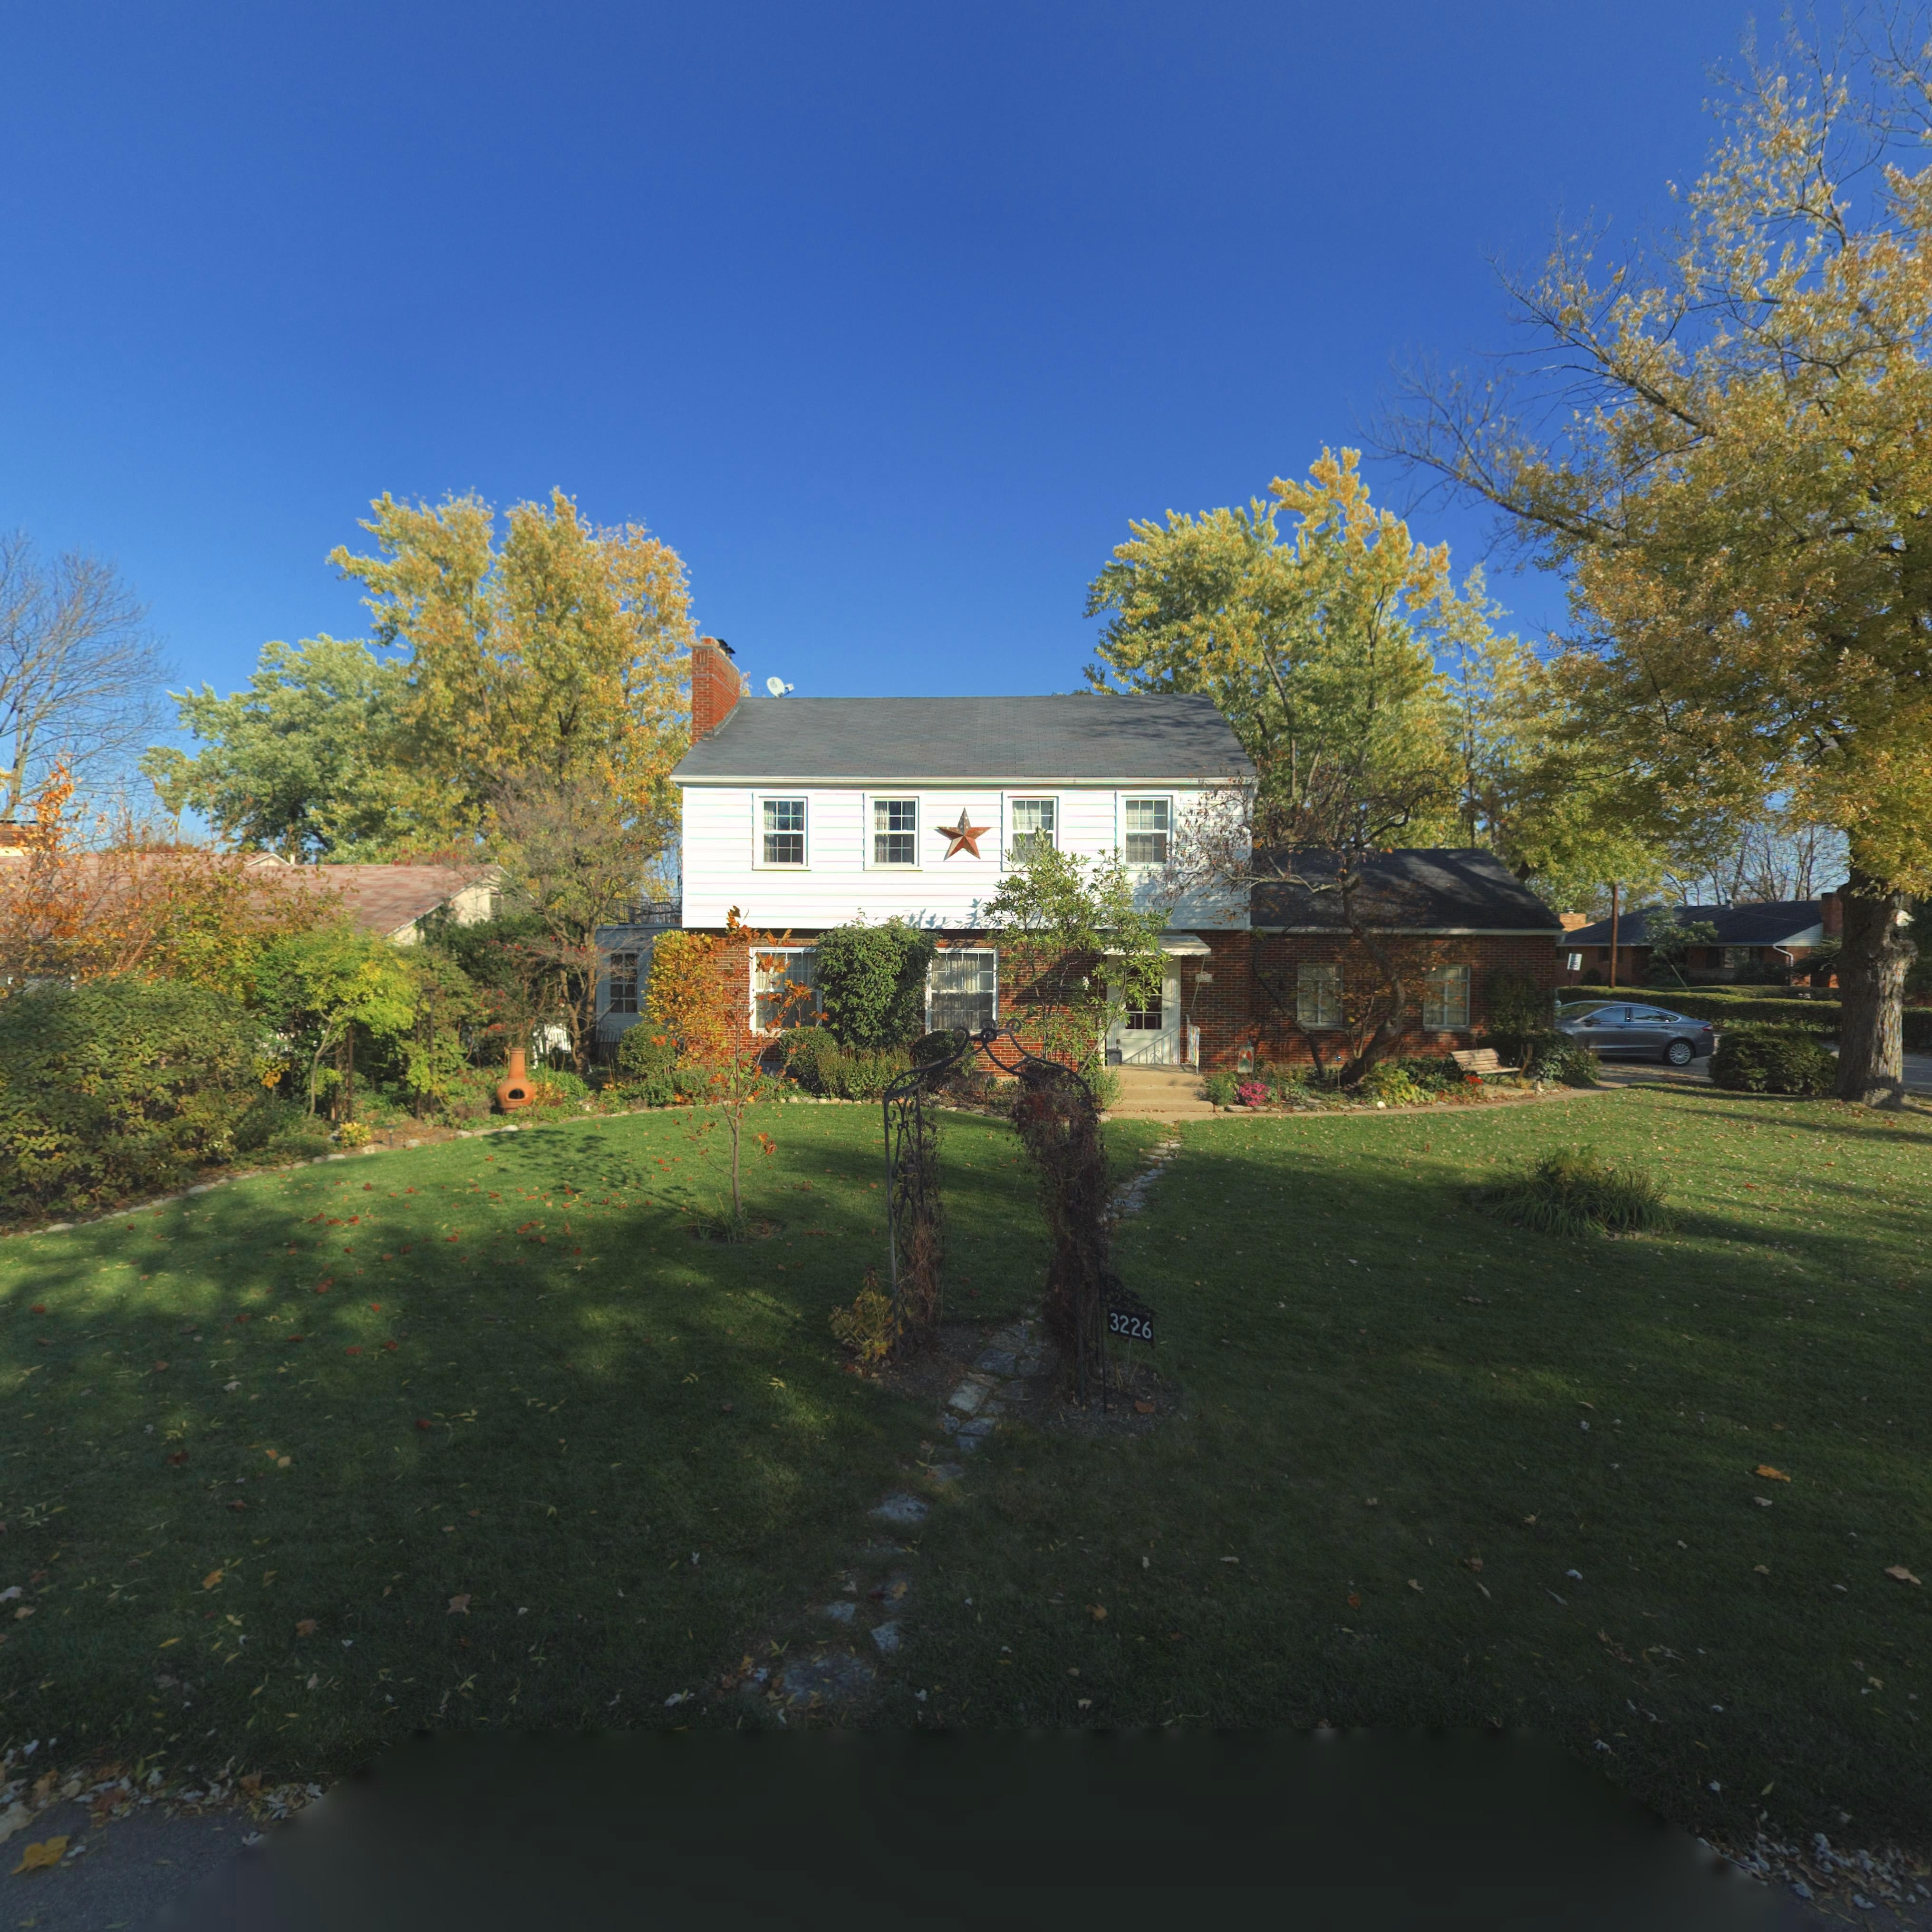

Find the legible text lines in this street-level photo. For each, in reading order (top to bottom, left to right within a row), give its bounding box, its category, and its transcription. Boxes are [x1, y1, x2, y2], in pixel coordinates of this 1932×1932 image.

[1199, 975, 1211, 981] StreetNumber: *2*
[1109, 1312, 1152, 1340] StreetNumber: 3226